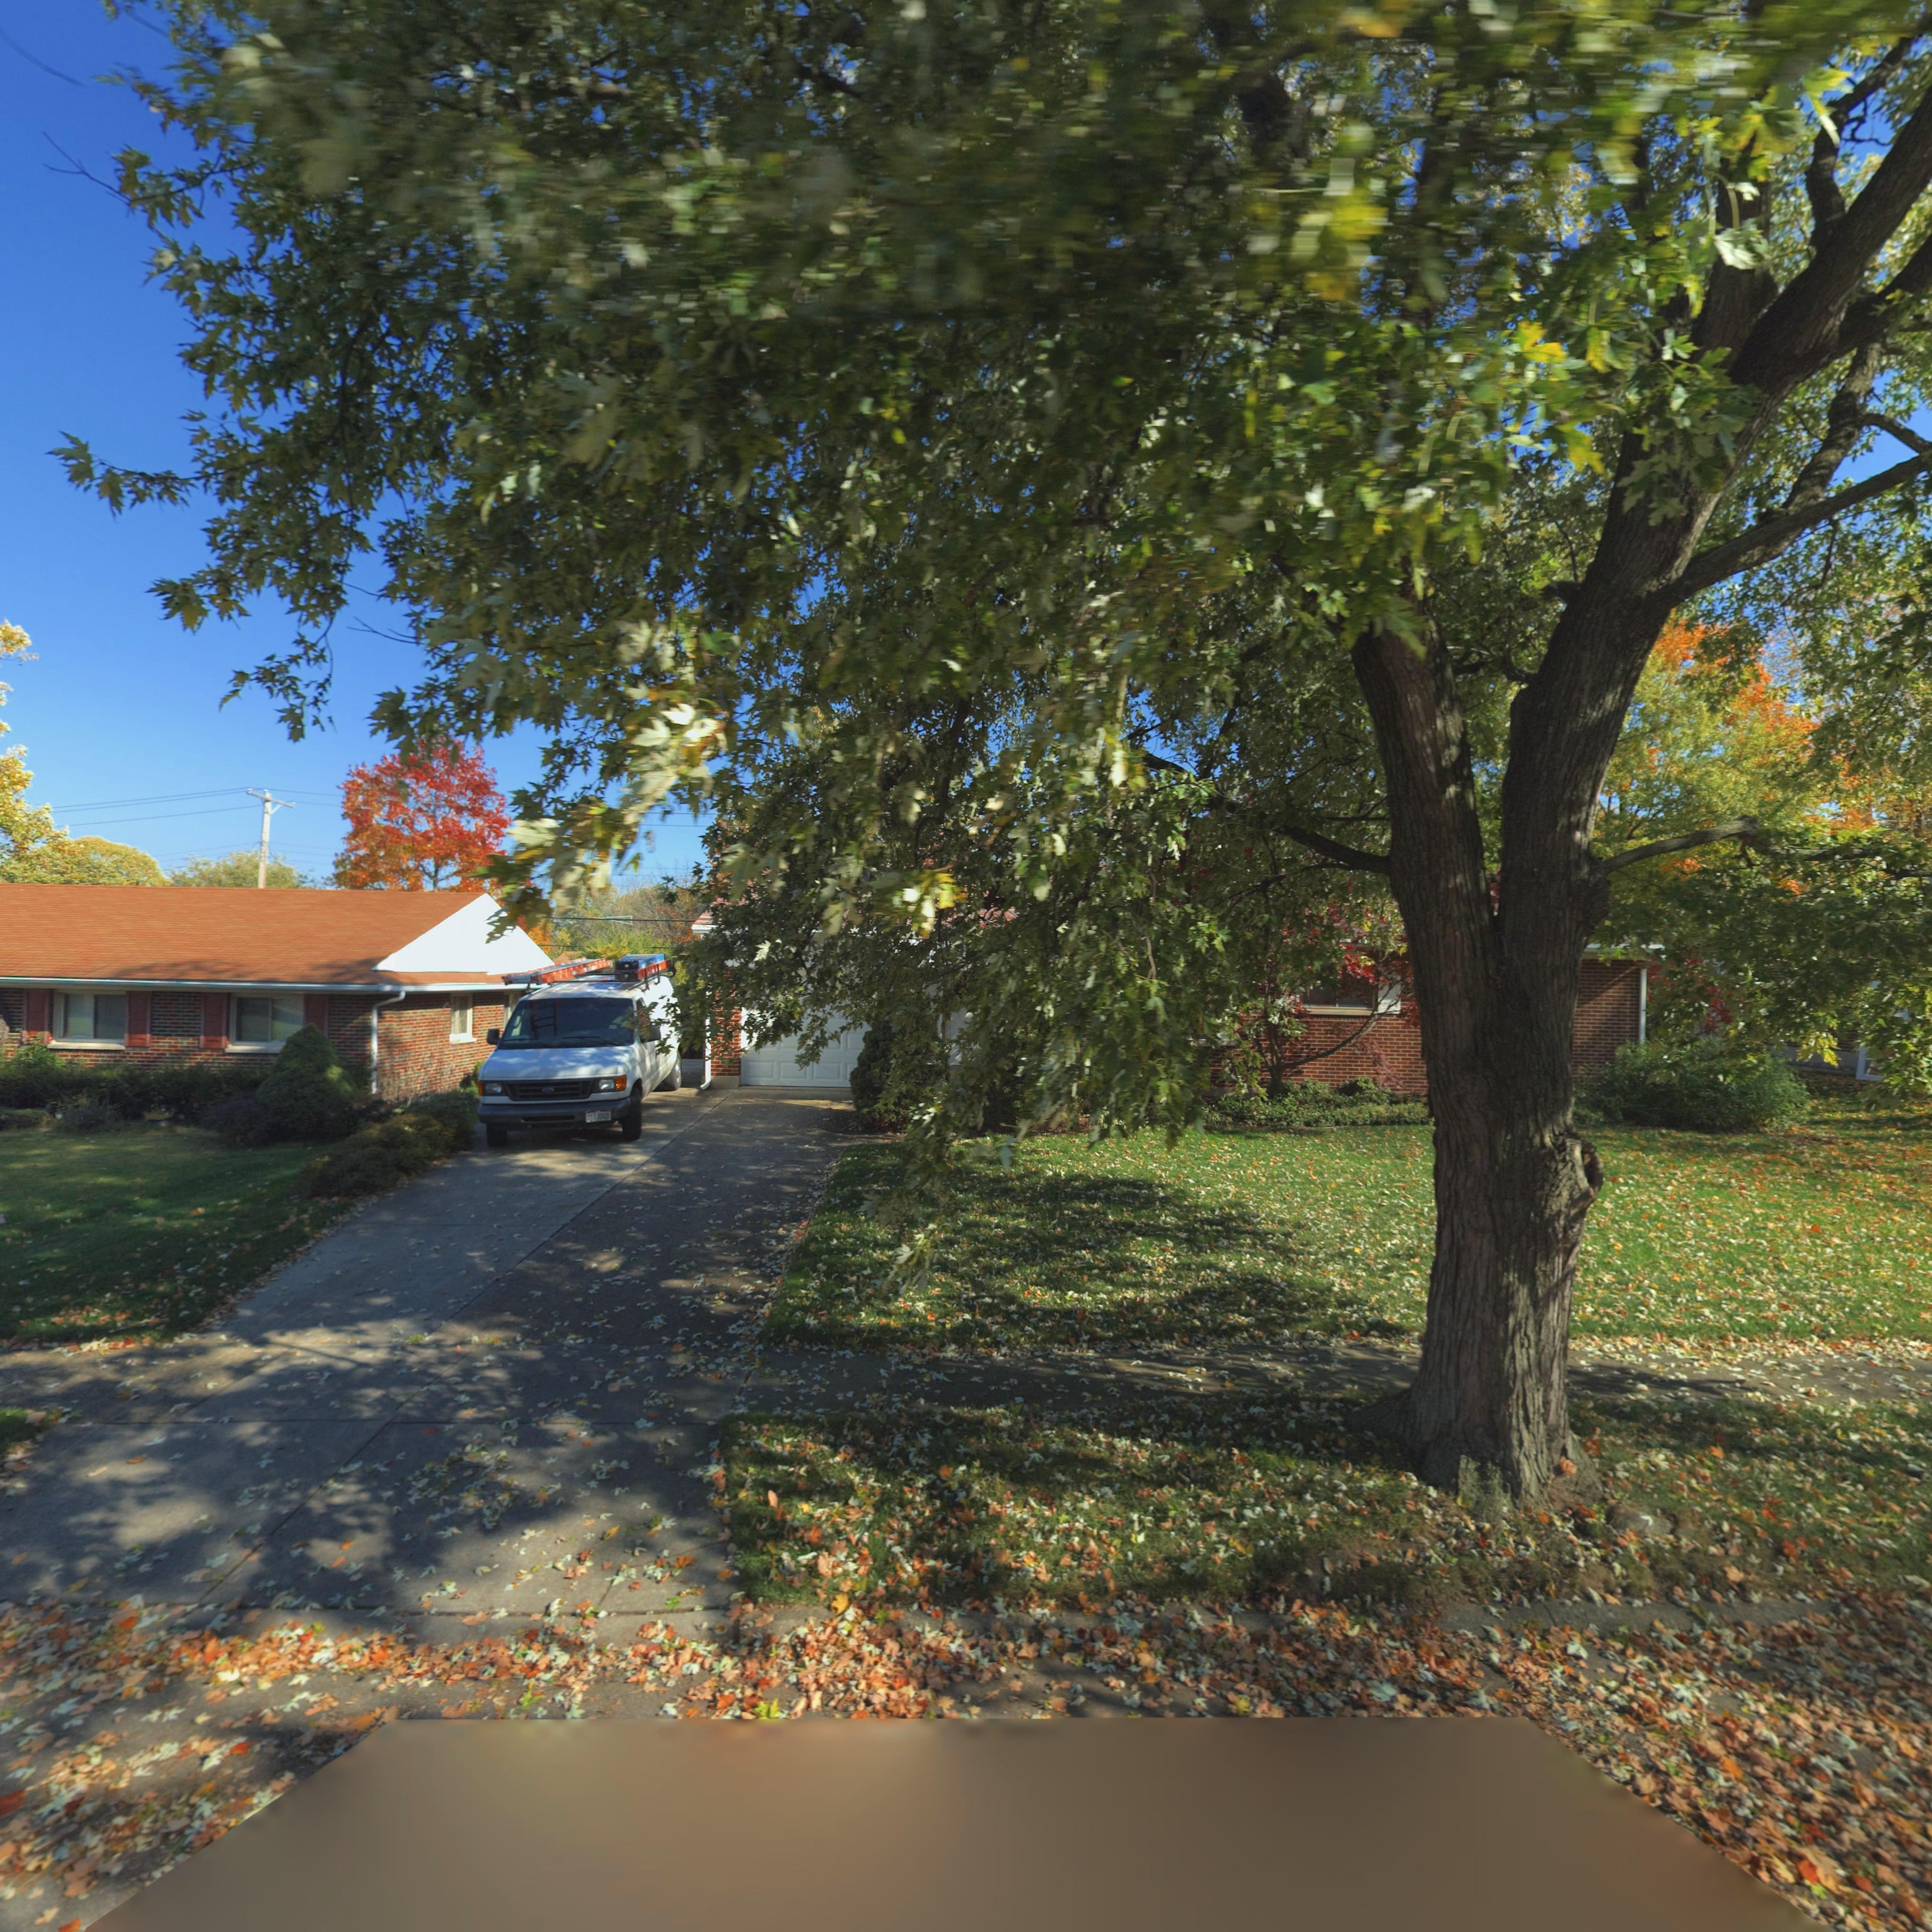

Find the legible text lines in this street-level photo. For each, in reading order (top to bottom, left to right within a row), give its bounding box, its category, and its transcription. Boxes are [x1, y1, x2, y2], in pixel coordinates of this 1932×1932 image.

[596, 1111, 611, 1120] None: 8*28